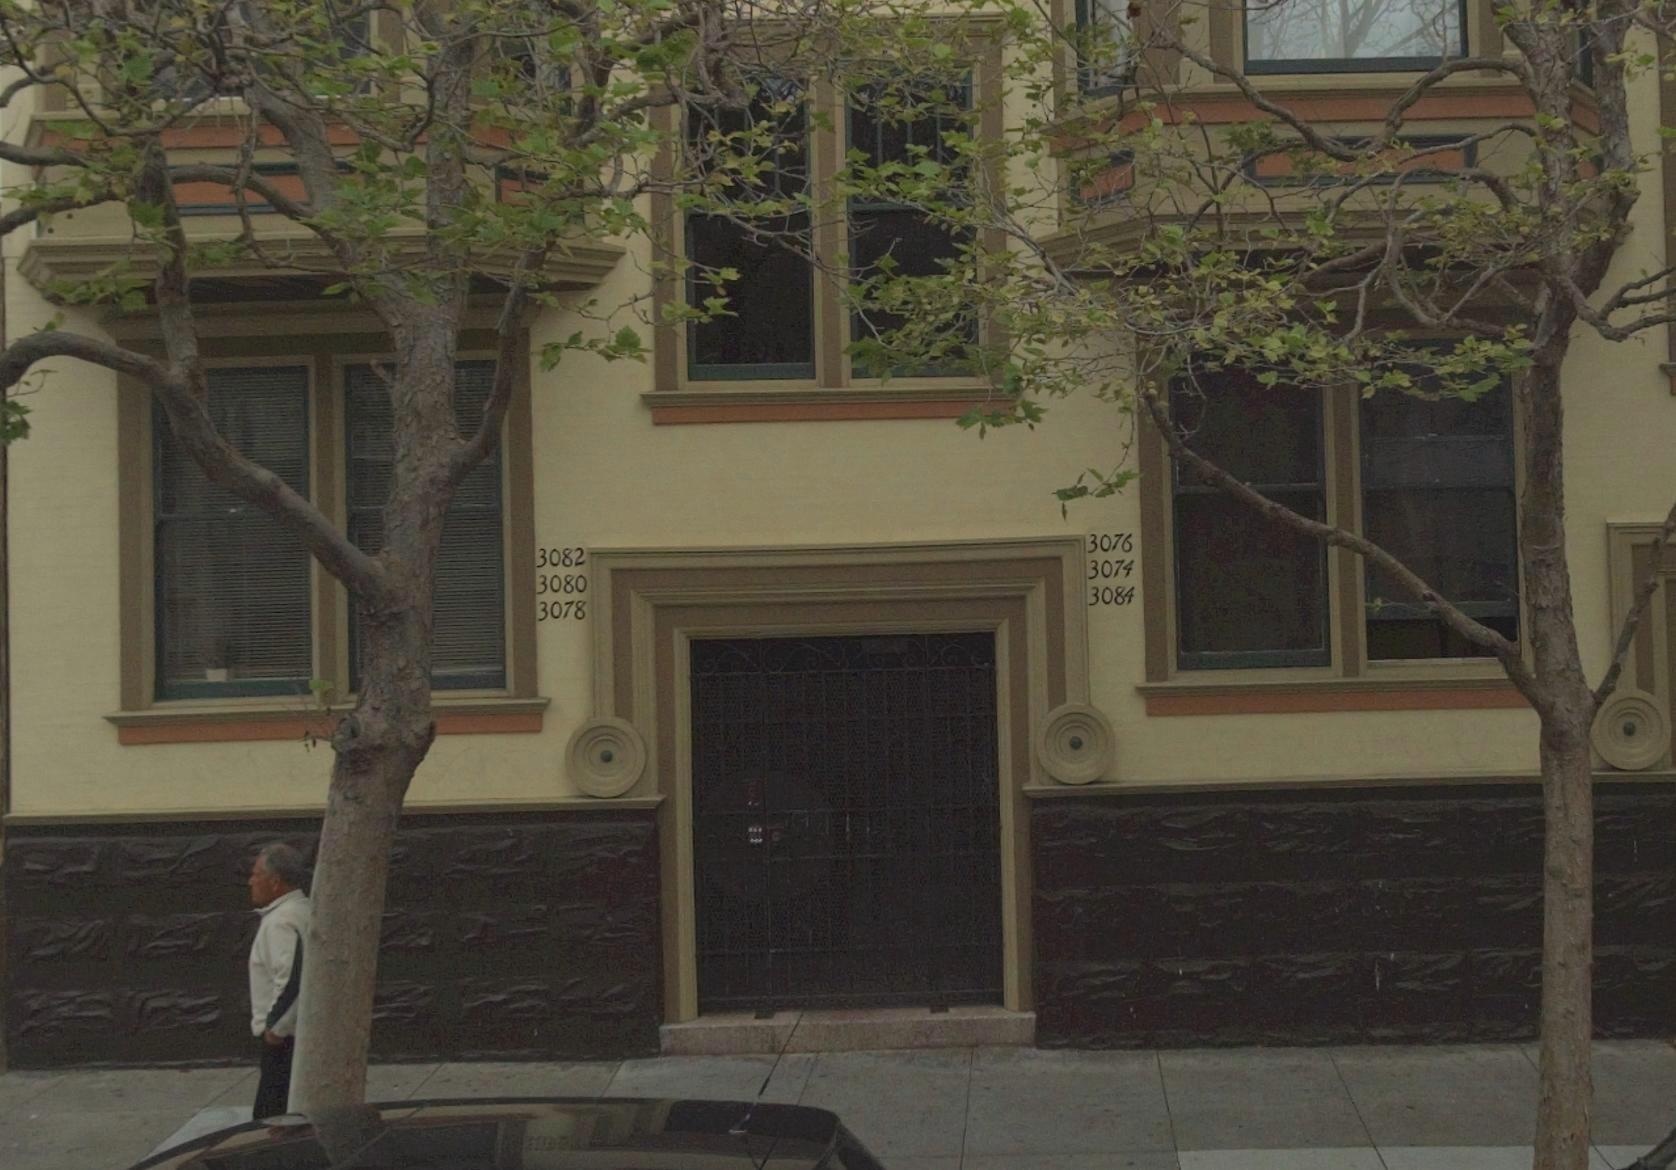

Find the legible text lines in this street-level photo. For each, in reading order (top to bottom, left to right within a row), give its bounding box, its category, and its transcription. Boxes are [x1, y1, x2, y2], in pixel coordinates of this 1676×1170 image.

[1086, 532, 1134, 555] StreetNumber: 3076
[535, 545, 587, 570] StreetNumber: 3082
[1086, 559, 1136, 580] StreetNumber: 3074
[534, 574, 589, 596] StreetNumber: 3080
[1087, 585, 1136, 607] StreetNumber: 3084
[537, 599, 588, 622] StreetNumber: 3078